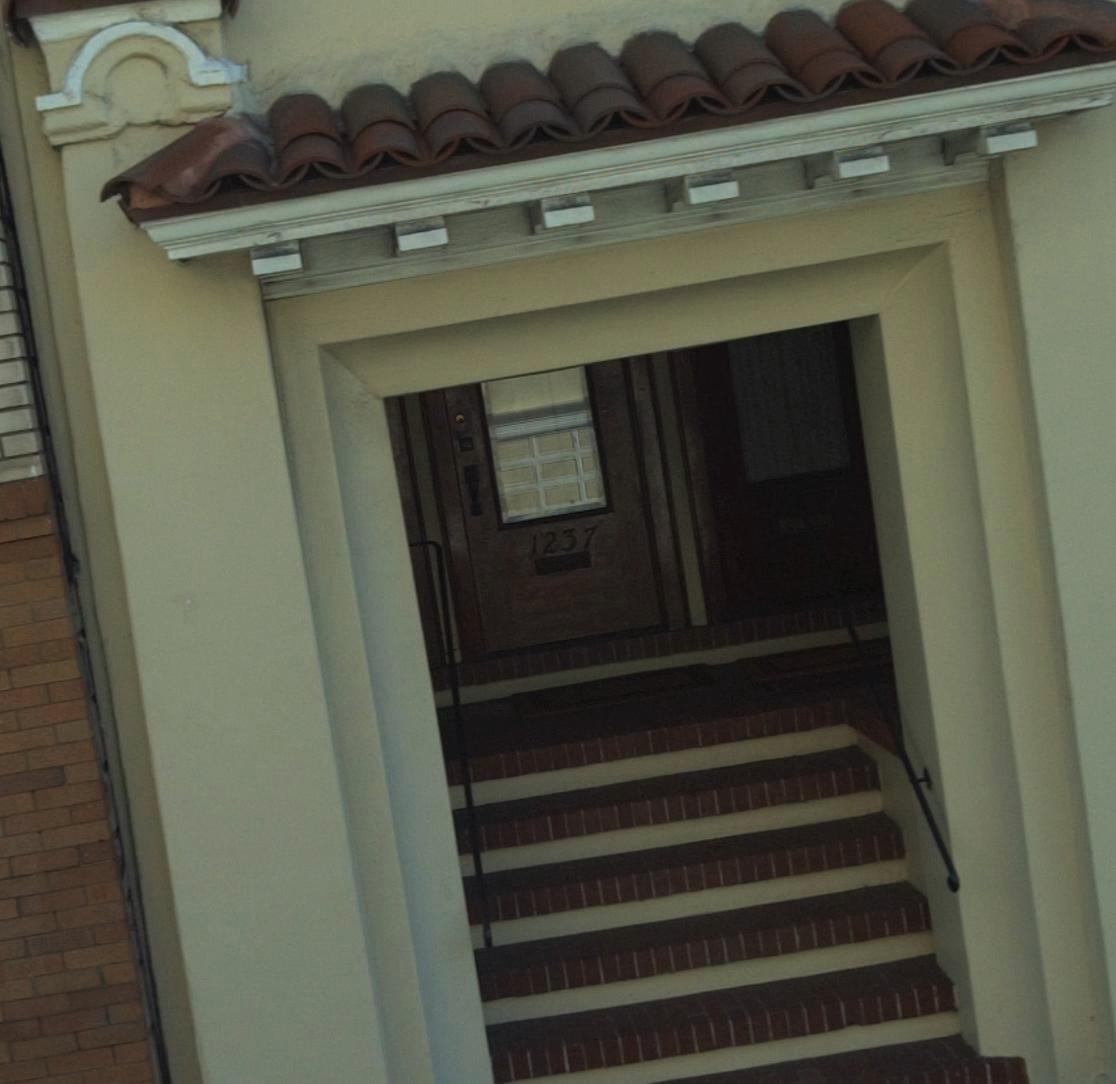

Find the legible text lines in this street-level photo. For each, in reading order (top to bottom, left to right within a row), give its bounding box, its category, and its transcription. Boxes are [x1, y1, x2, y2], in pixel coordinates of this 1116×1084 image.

[527, 522, 602, 561] StreetNumber: 1237